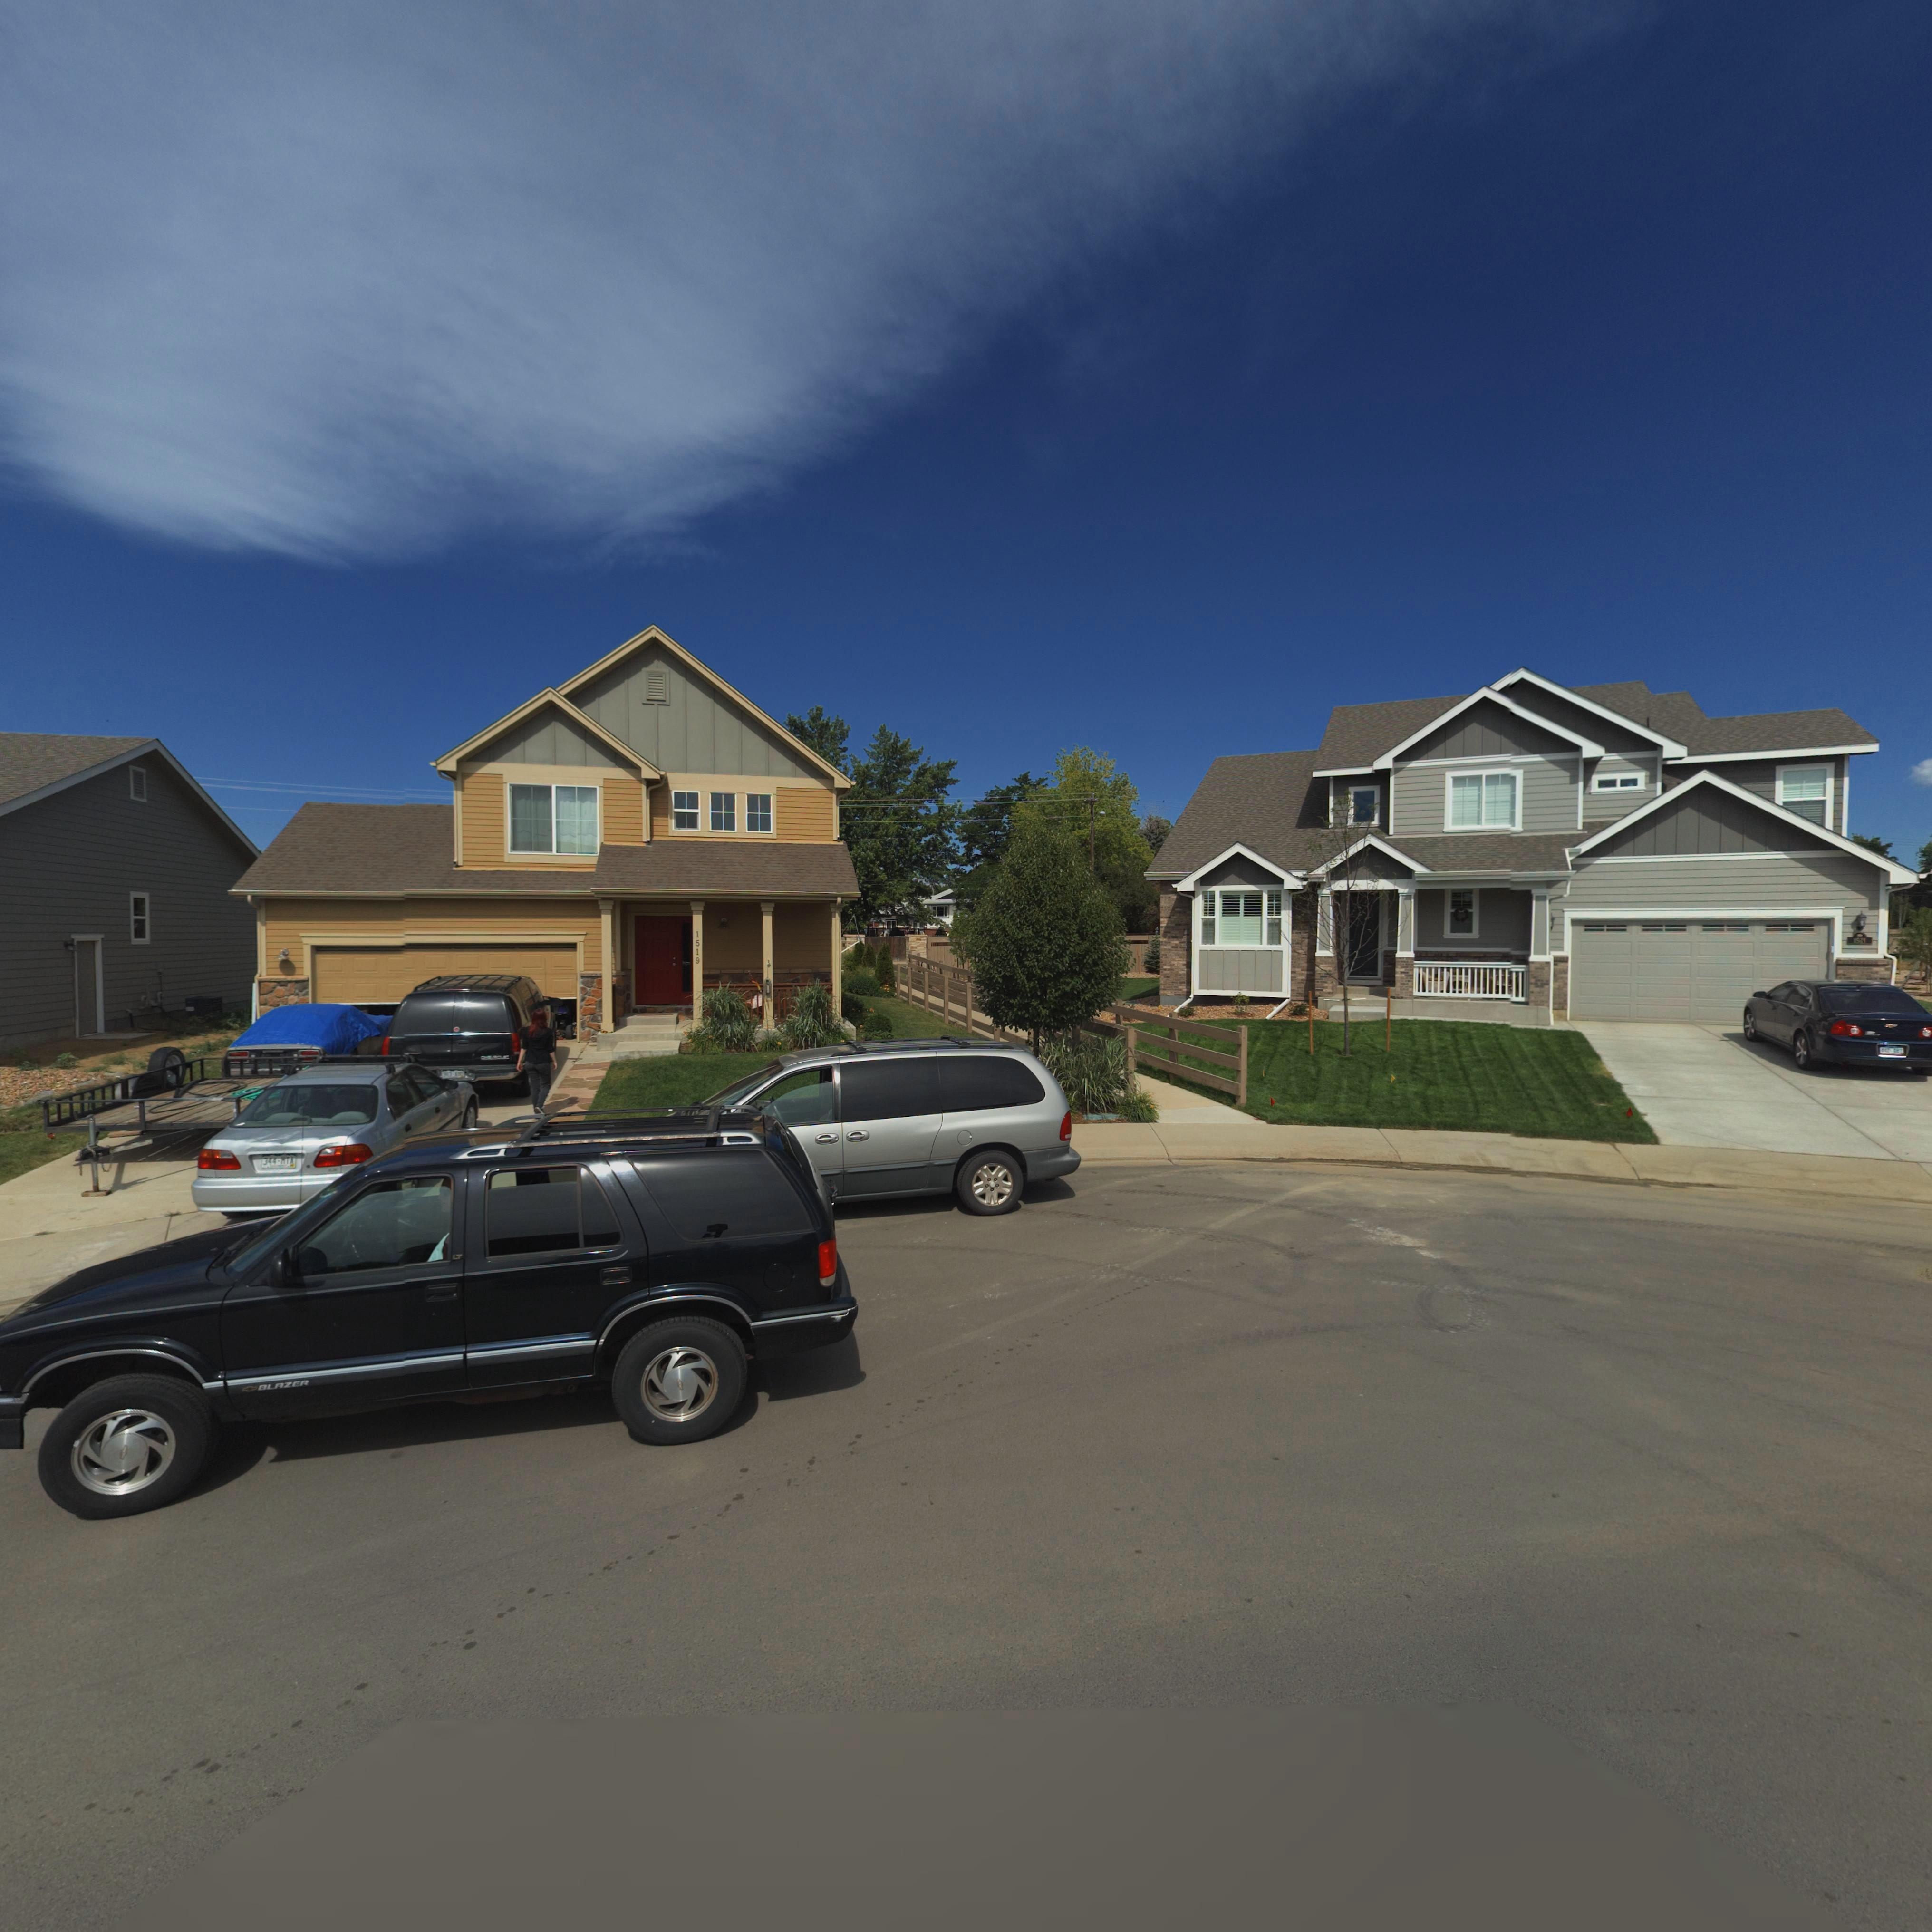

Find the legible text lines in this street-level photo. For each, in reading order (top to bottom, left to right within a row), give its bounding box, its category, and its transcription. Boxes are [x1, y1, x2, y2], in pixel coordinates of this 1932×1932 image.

[695, 930, 700, 964] StreetNumber: 1519
[1852, 937, 1866, 944] StreetNumber: 15**